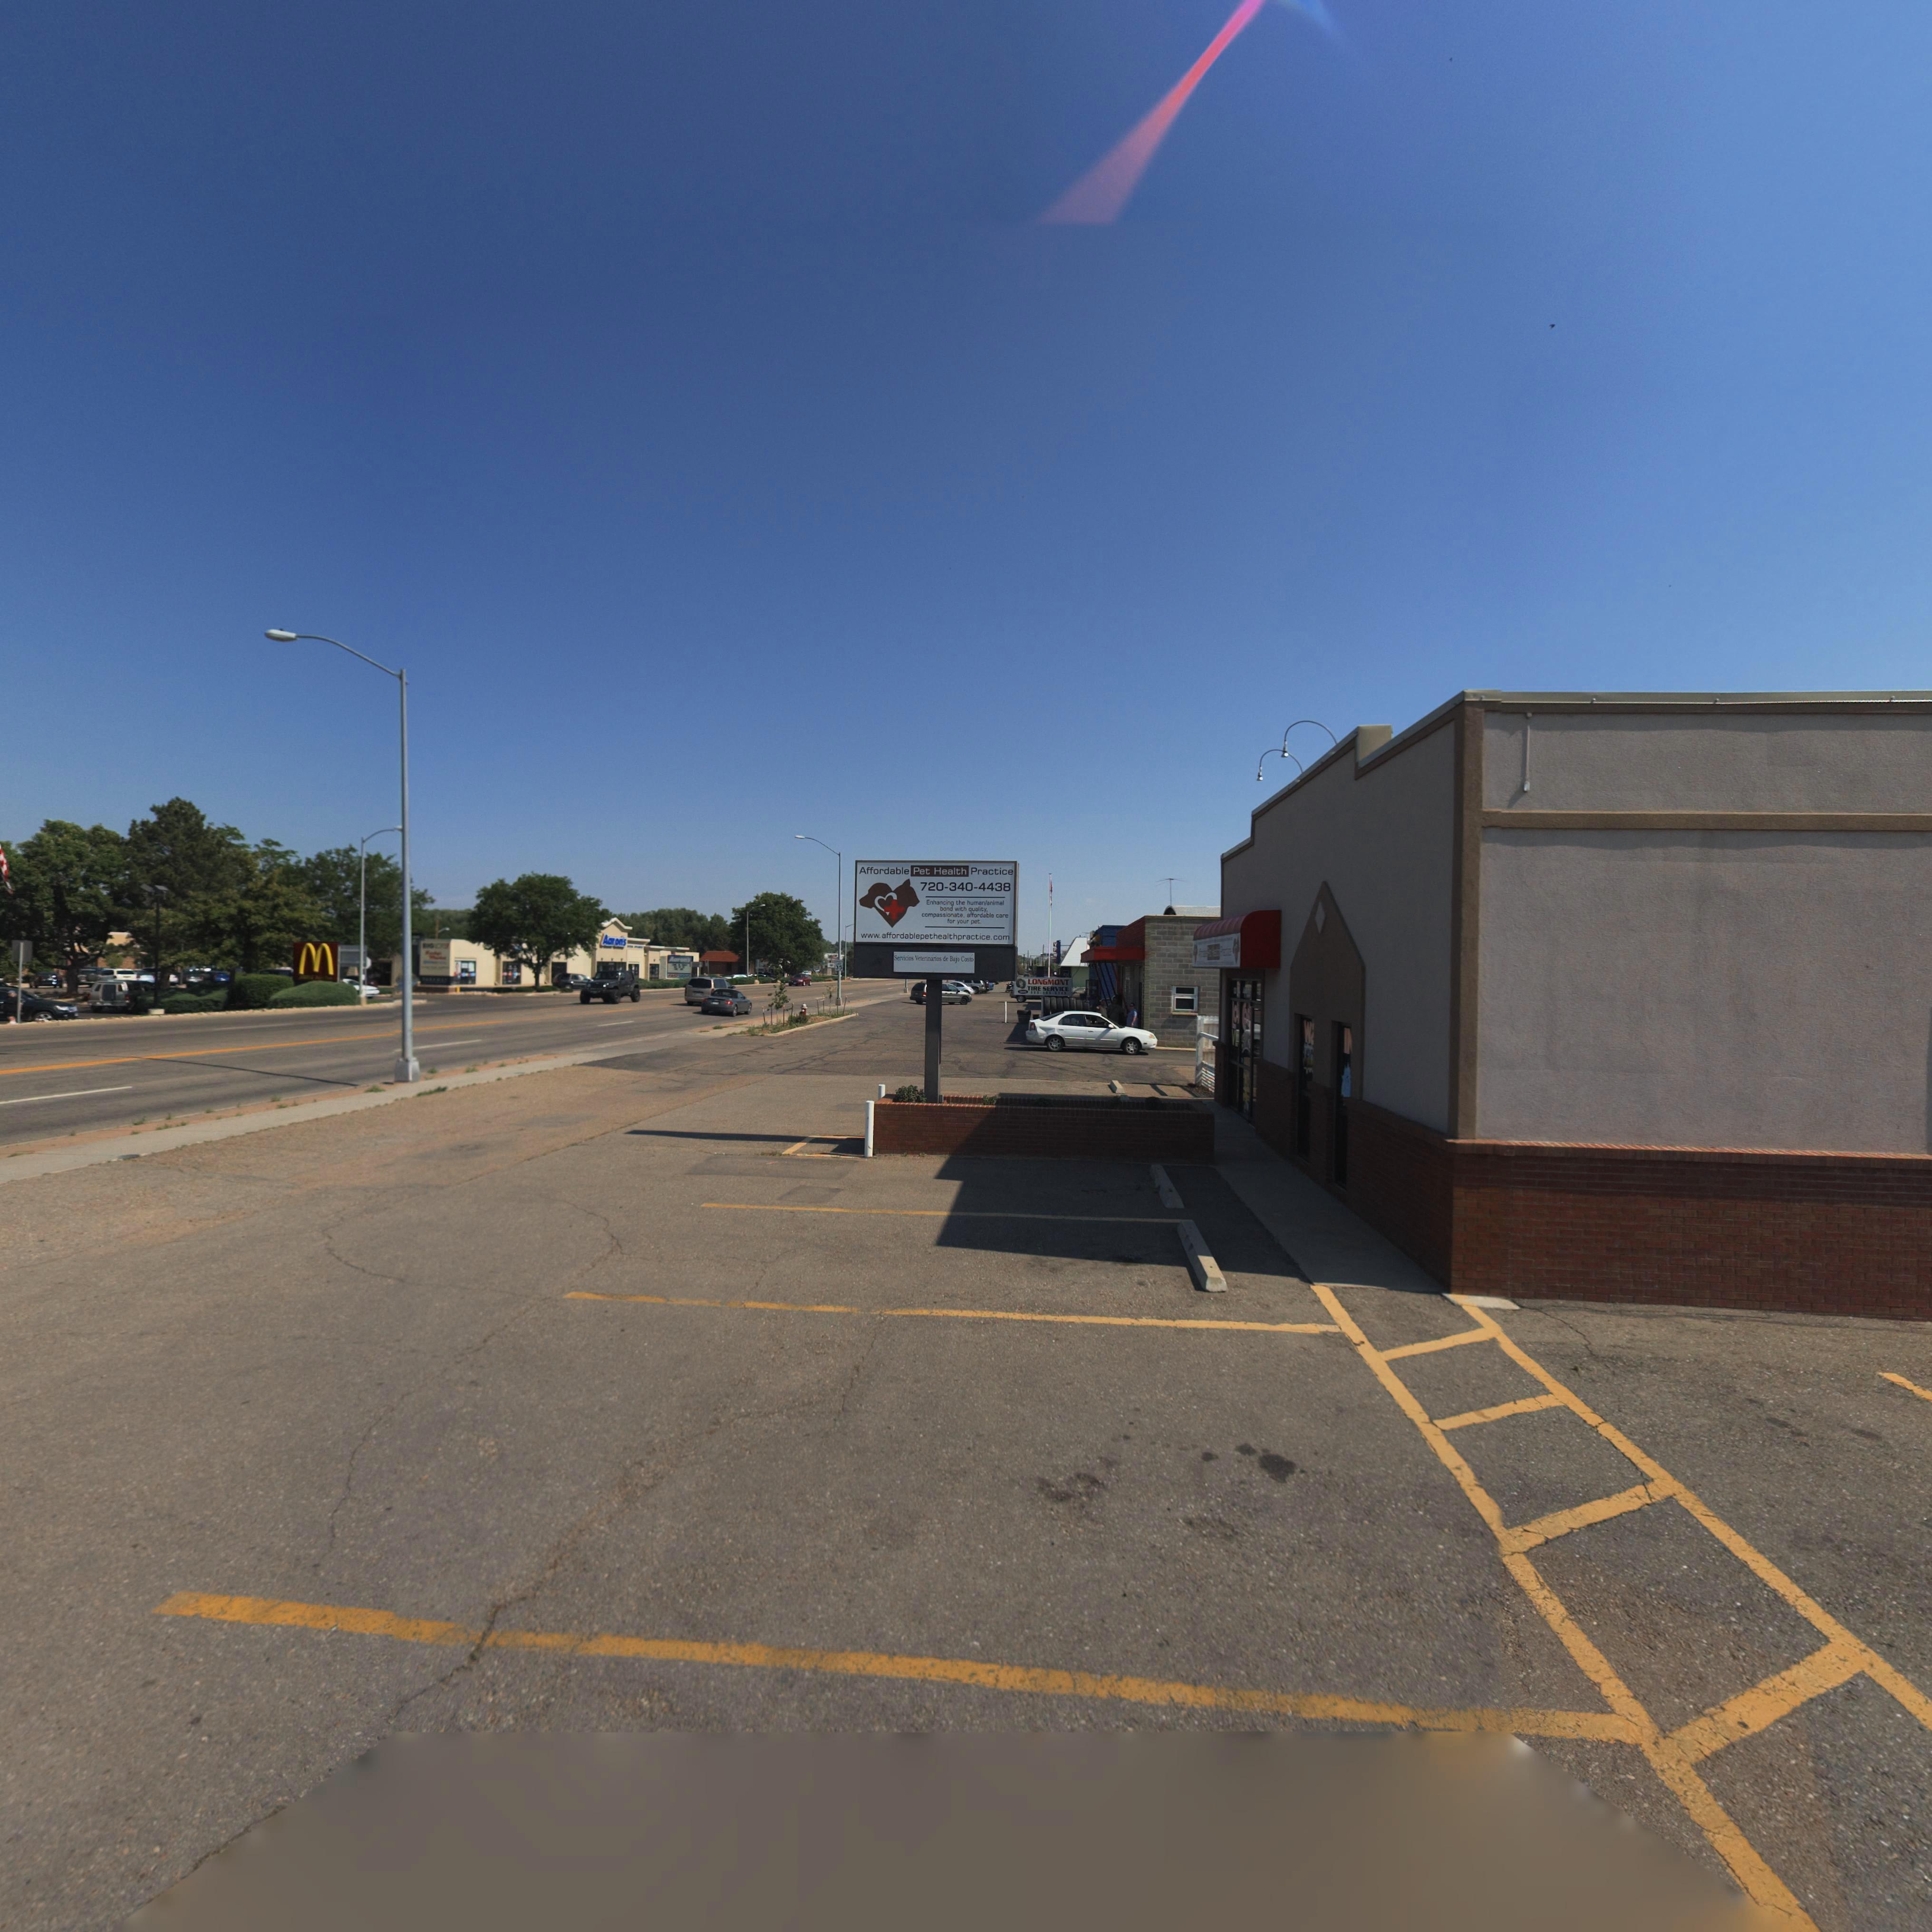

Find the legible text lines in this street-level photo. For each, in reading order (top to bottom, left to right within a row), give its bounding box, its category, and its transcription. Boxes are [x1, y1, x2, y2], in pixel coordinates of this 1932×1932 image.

[859, 866, 1014, 876] BusinessName: Affordable Pet Health Practice
[600, 933, 627, 946] BusinessName: Aarons
[1053, 941, 1058, 957] BusinessName: VFW
[668, 956, 691, 963] BusinessName: A**o*s
[667, 973, 691, 978] BusinessName: FAST S**S
[1028, 978, 1069, 985] BusinessName: LONGMONT
[1027, 985, 1069, 991] BusinessName: TIRE SERVICE